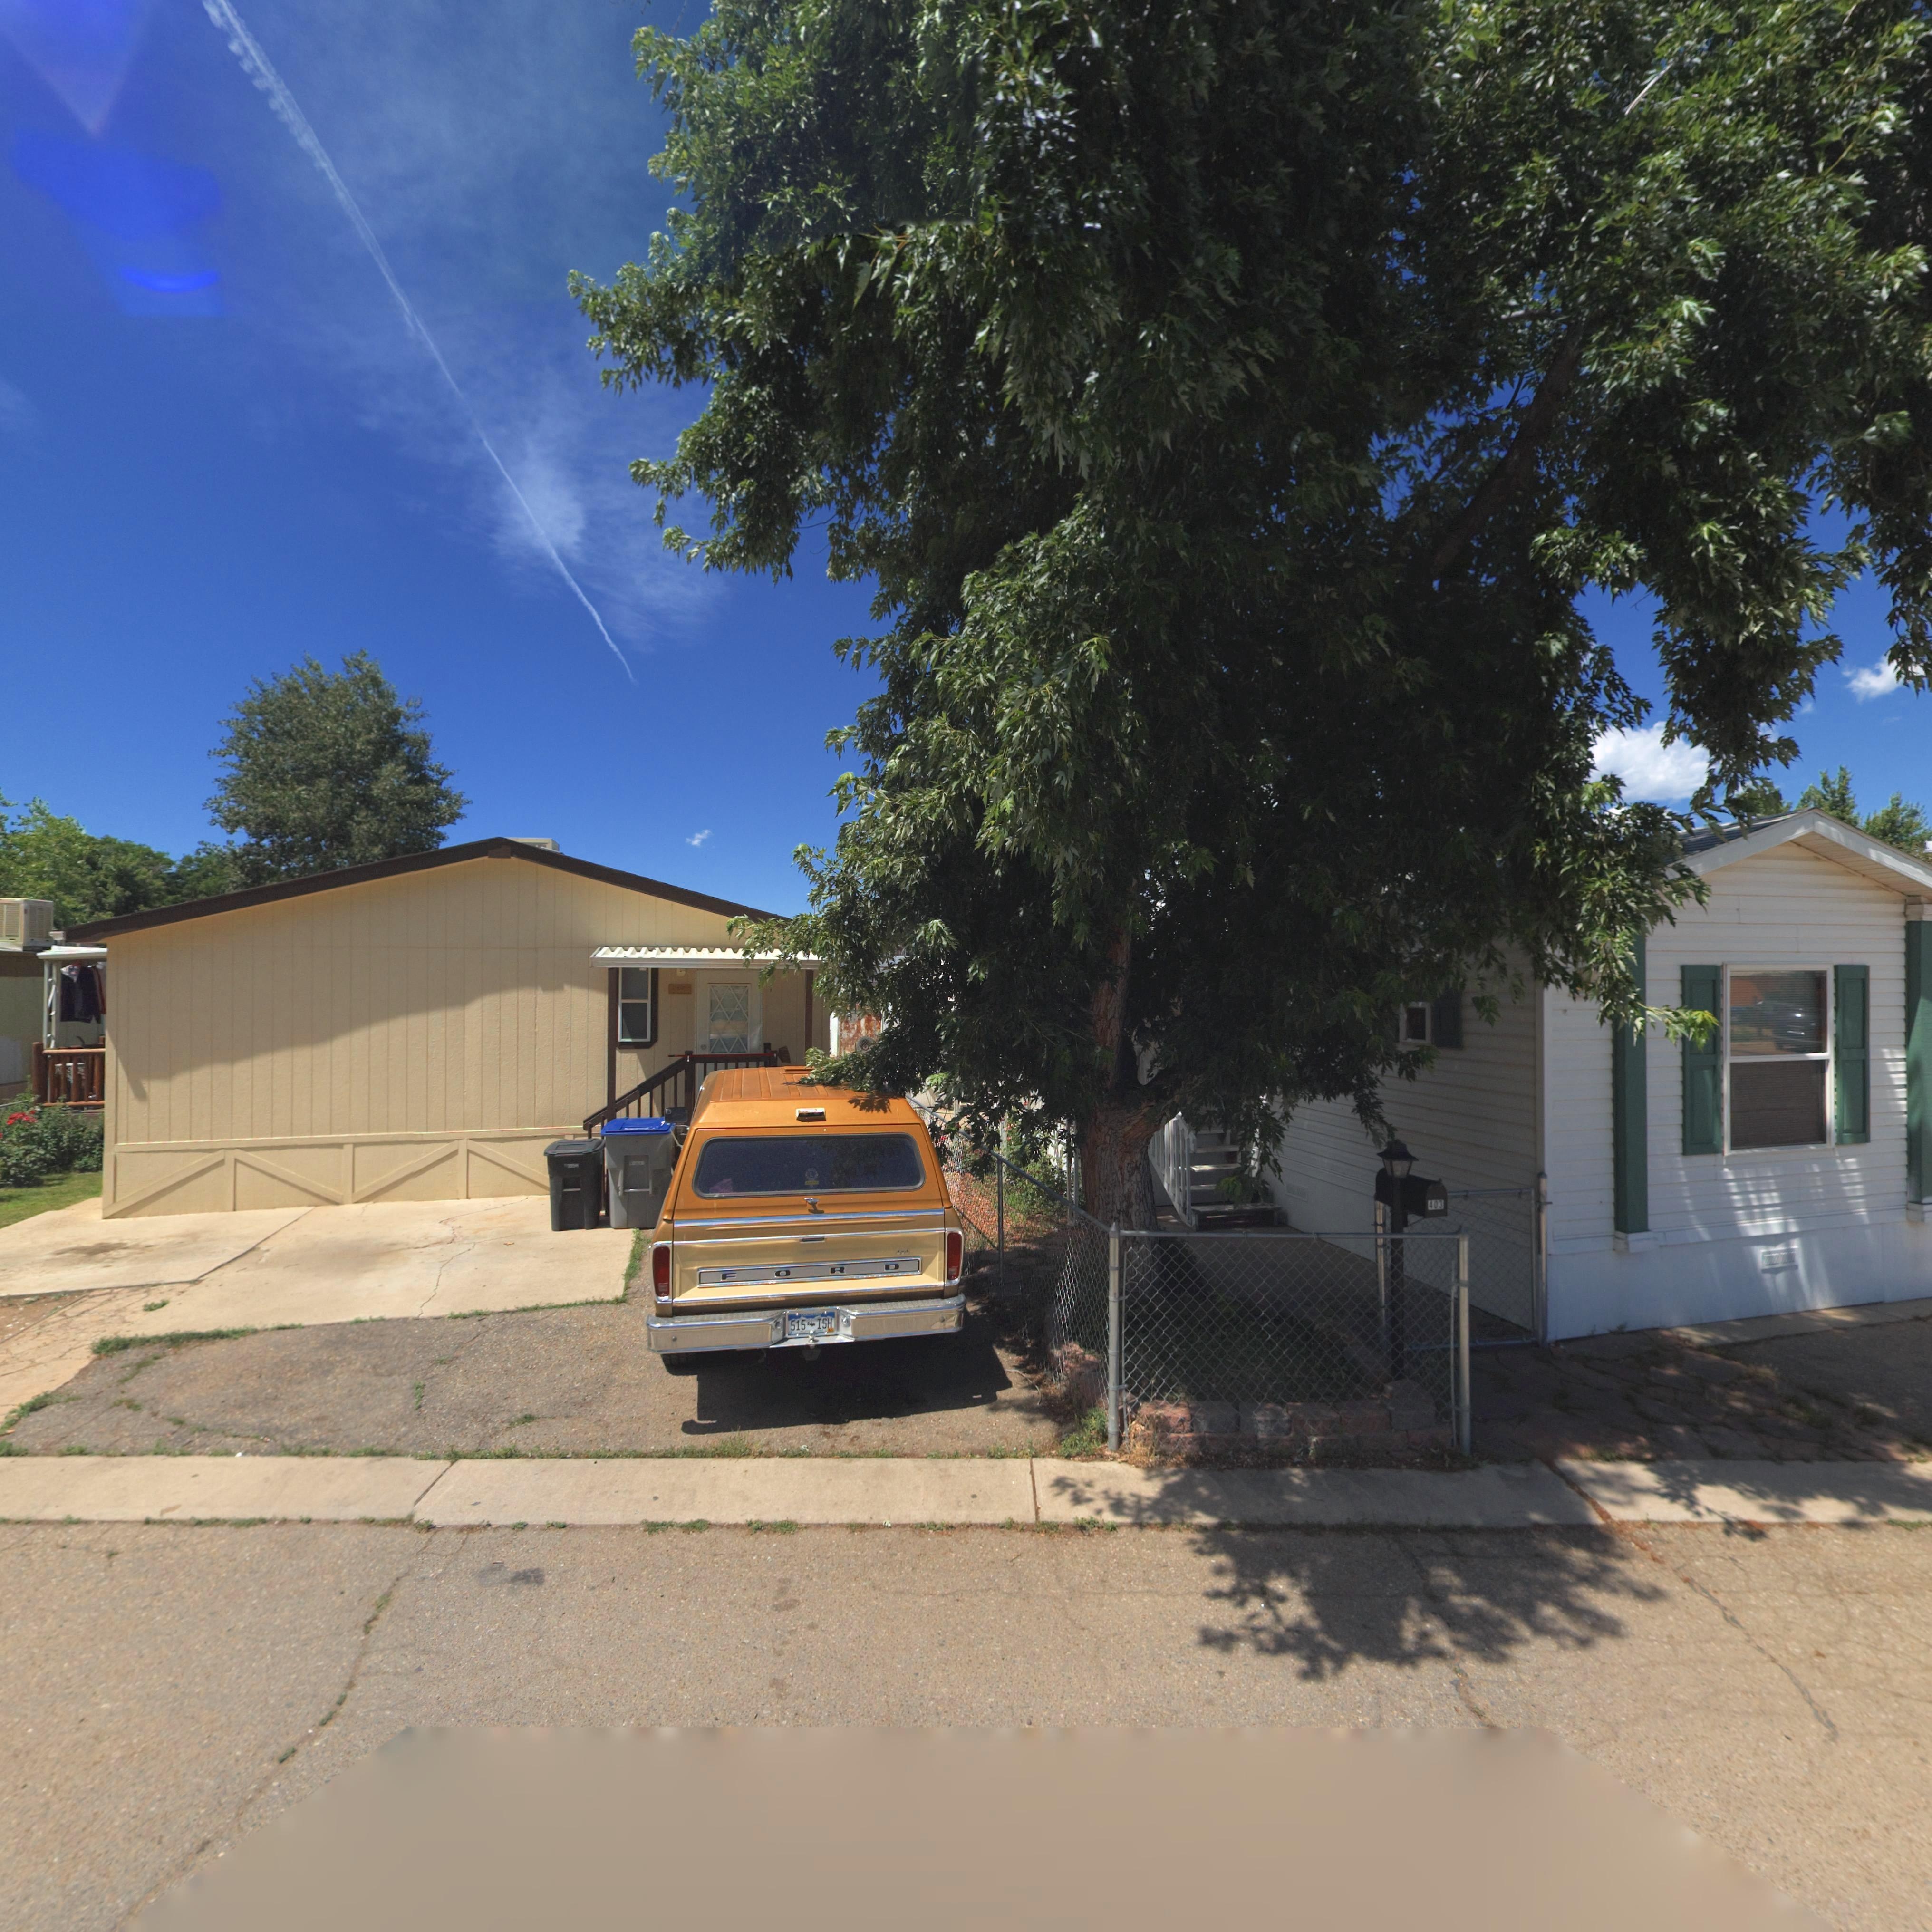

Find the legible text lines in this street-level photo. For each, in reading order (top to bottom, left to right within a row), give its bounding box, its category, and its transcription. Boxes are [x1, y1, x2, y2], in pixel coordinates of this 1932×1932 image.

[1428, 1199, 1442, 1208] StreetNumber: 403